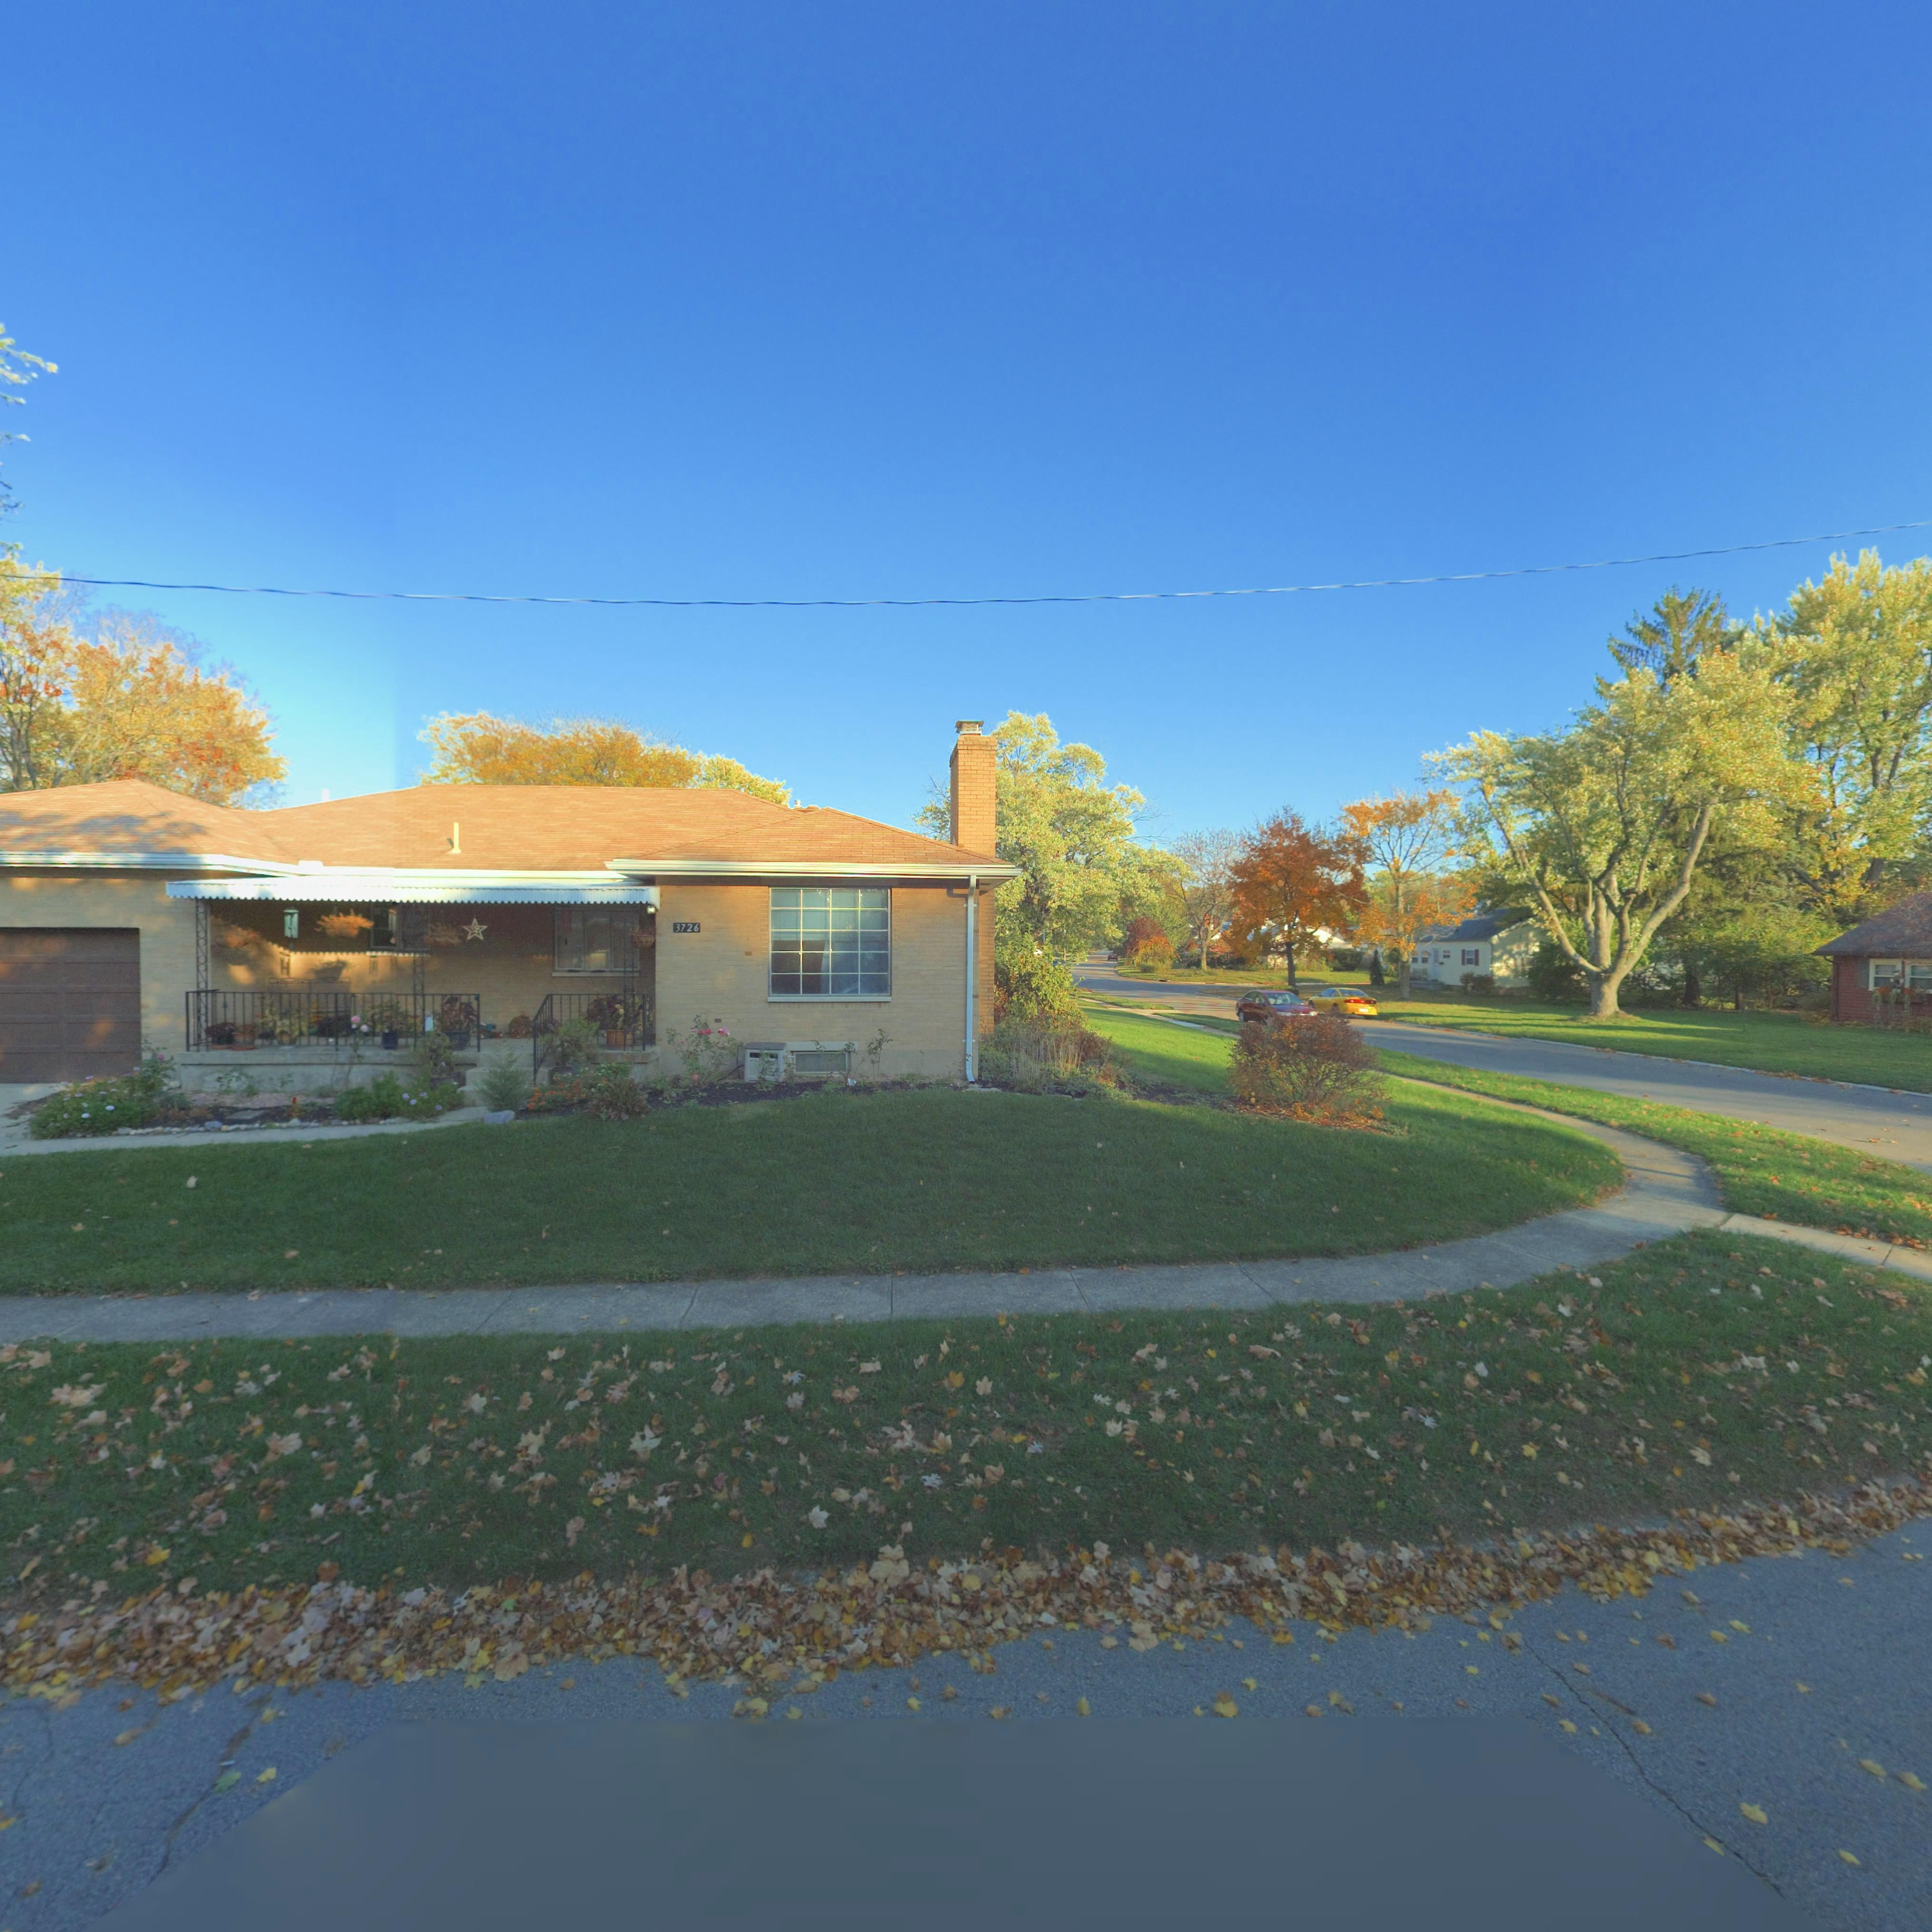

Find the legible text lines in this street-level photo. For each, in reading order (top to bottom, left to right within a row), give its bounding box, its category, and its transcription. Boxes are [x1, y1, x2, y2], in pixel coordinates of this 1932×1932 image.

[675, 923, 700, 932] StreetNumber: 3726